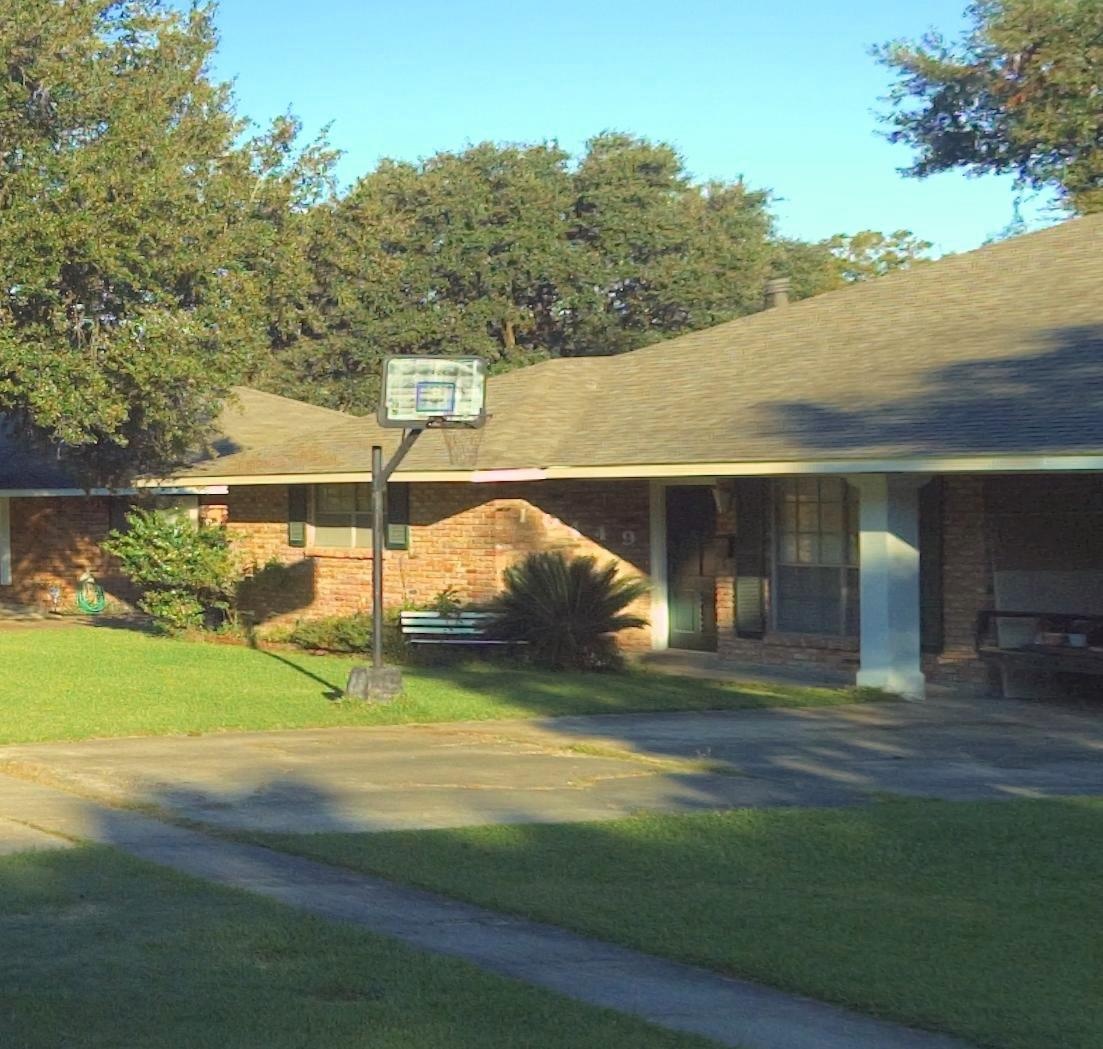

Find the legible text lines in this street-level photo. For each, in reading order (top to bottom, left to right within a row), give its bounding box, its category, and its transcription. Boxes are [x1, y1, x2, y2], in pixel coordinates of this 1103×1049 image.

[517, 506, 637, 548] StreetNumber: 16449